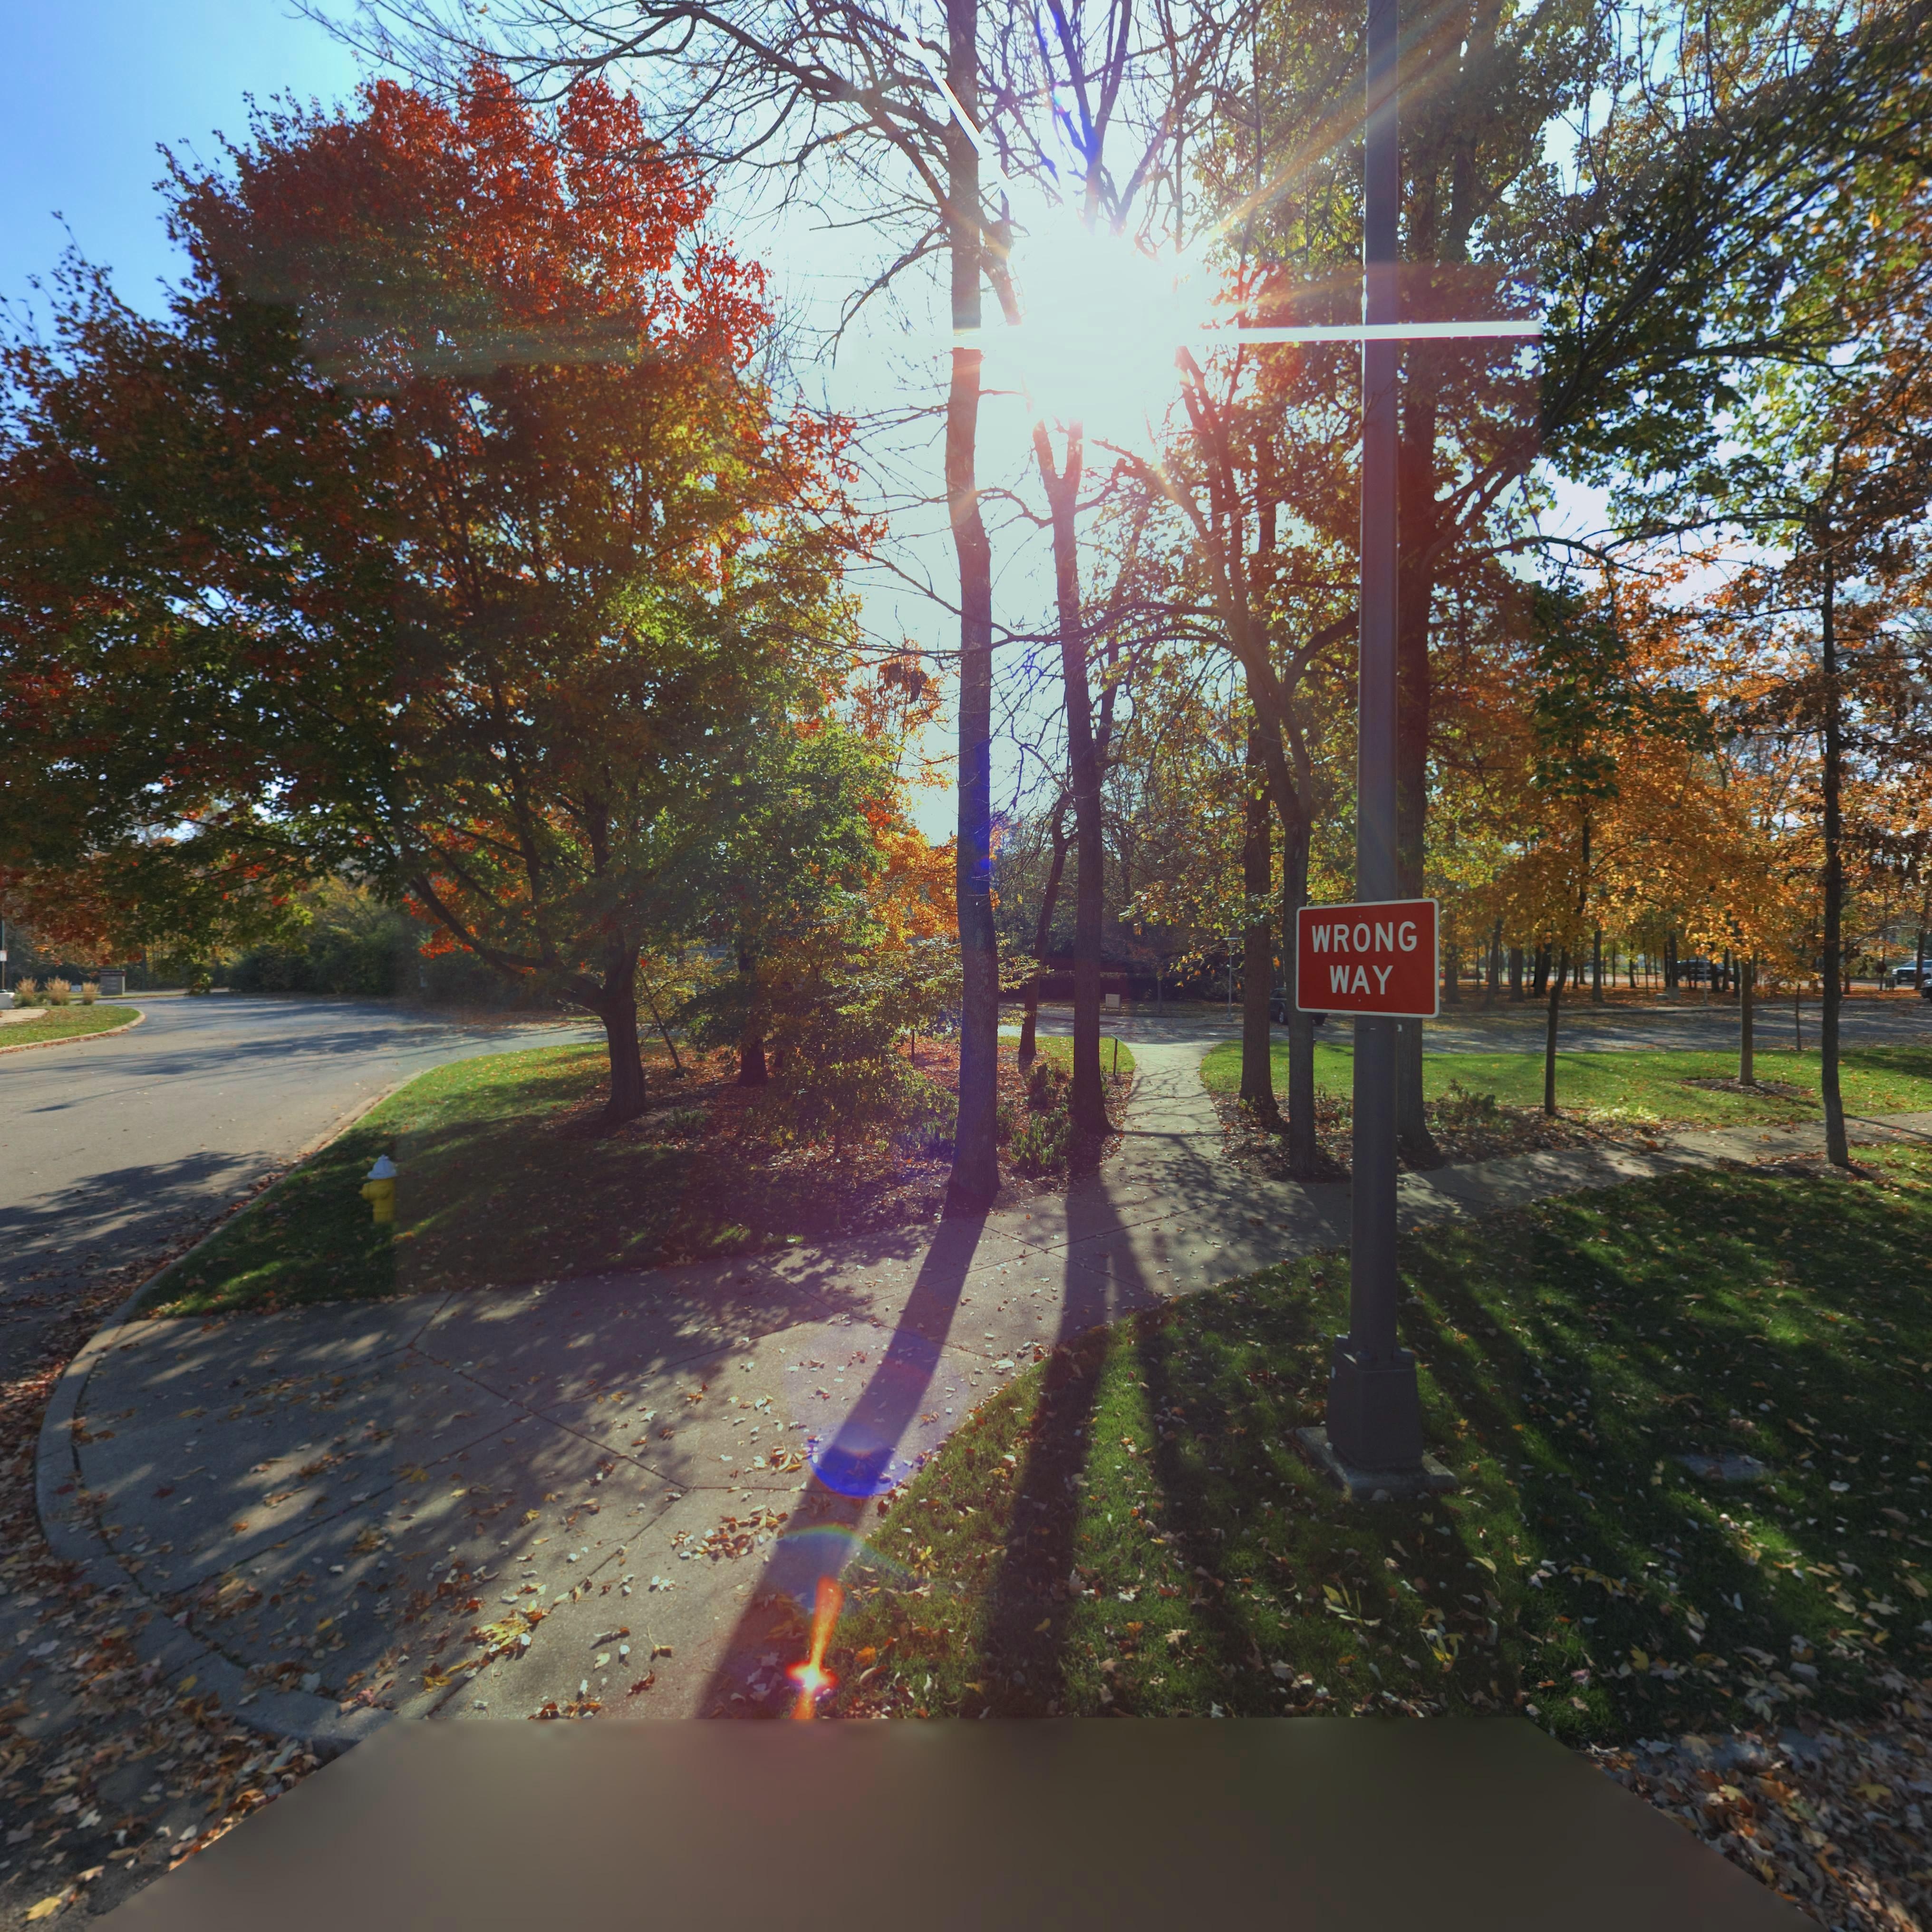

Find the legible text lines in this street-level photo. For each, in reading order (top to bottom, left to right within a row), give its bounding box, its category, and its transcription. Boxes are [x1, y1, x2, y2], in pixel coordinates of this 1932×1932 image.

[1311, 920, 1418, 954] None: WRONG
[1328, 964, 1394, 995] None: WAY